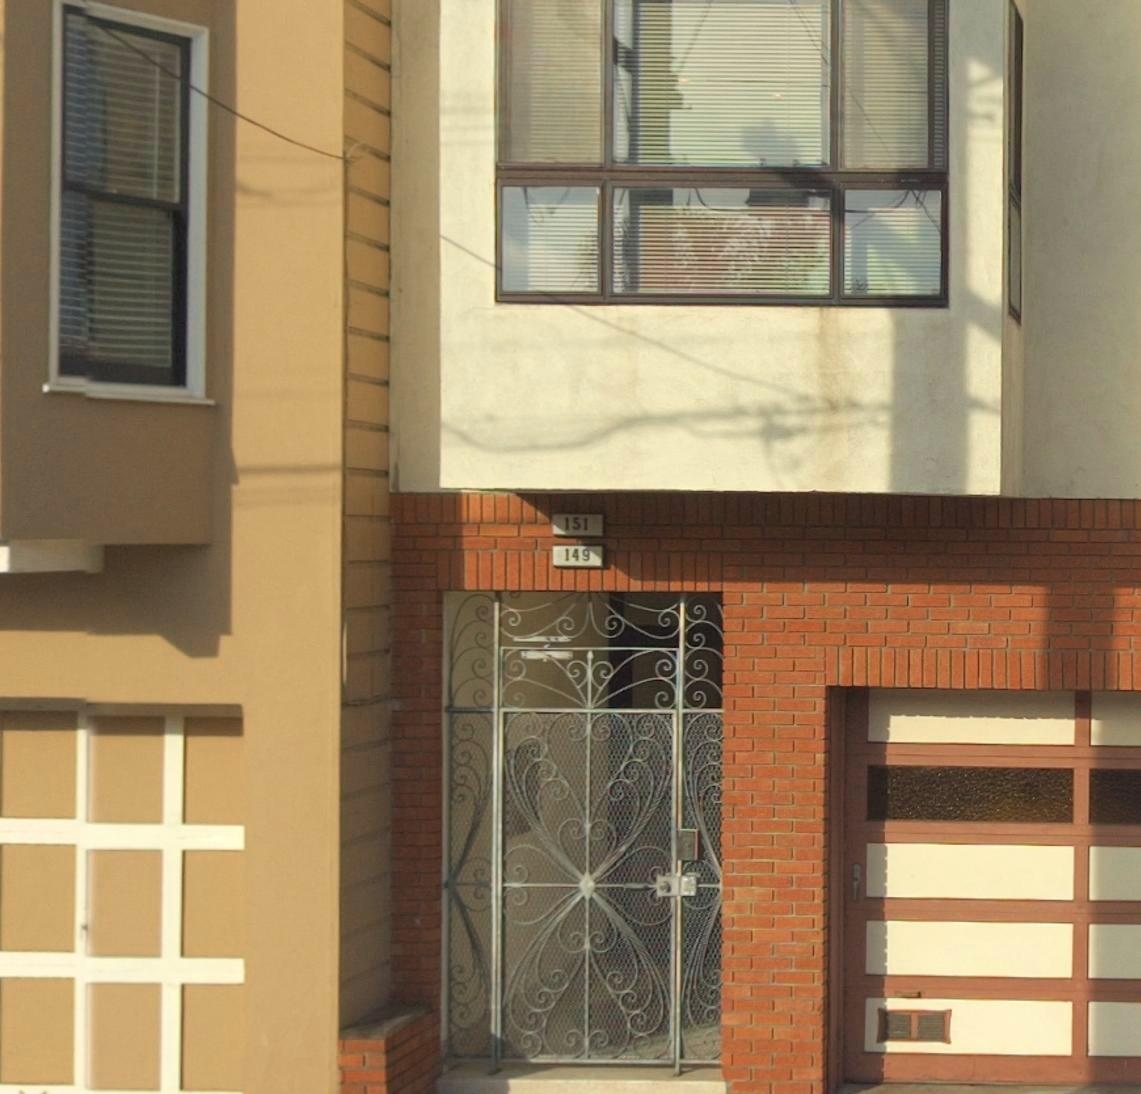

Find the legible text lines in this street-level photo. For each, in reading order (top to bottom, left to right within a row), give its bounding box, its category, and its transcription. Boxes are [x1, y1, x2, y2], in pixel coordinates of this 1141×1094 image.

[561, 514, 590, 533] StreetNumber: 151
[563, 546, 592, 564] StreetNumber: 149